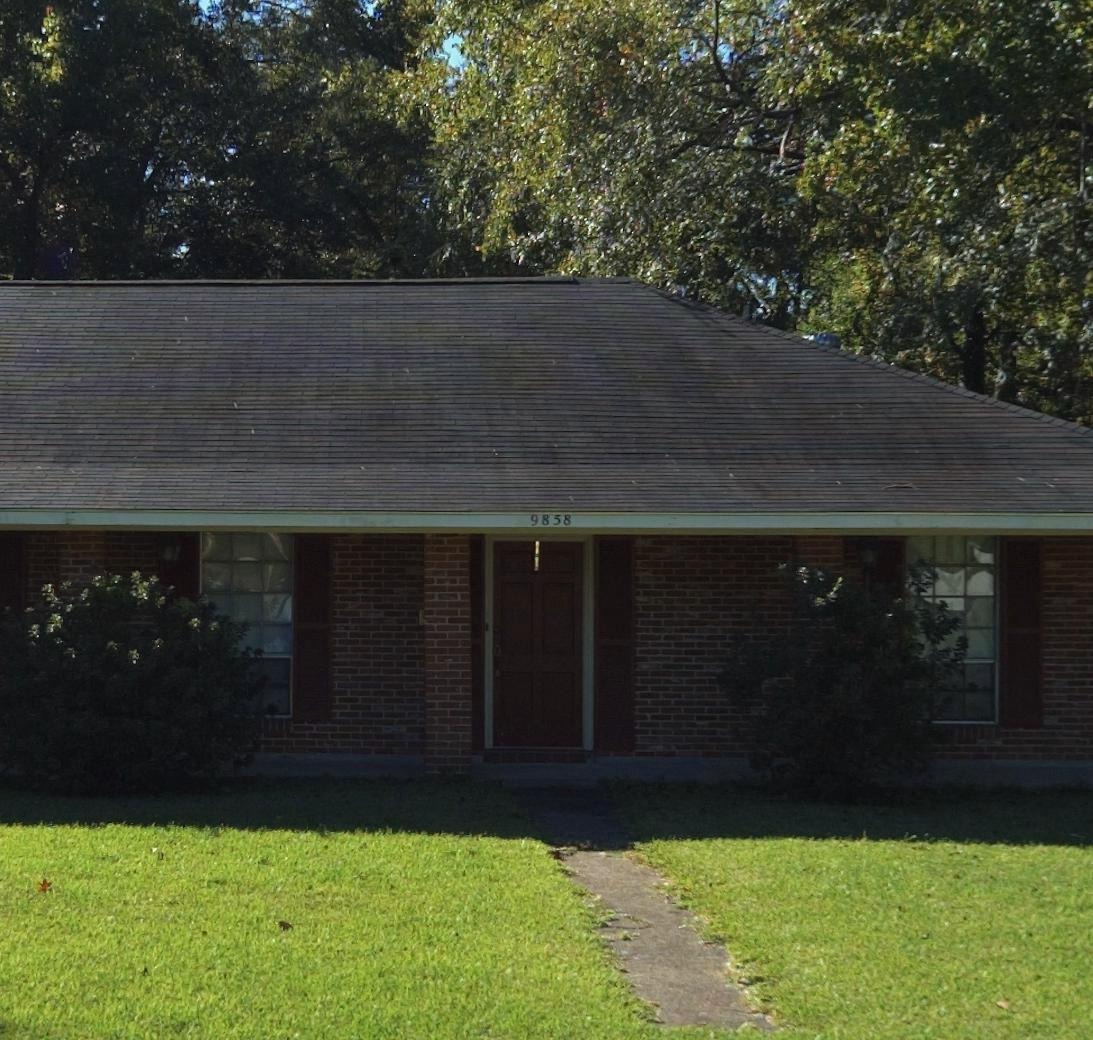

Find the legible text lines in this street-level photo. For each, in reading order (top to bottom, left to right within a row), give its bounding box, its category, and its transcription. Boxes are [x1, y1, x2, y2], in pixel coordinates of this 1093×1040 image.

[529, 512, 573, 528] StreetNumber: 9858